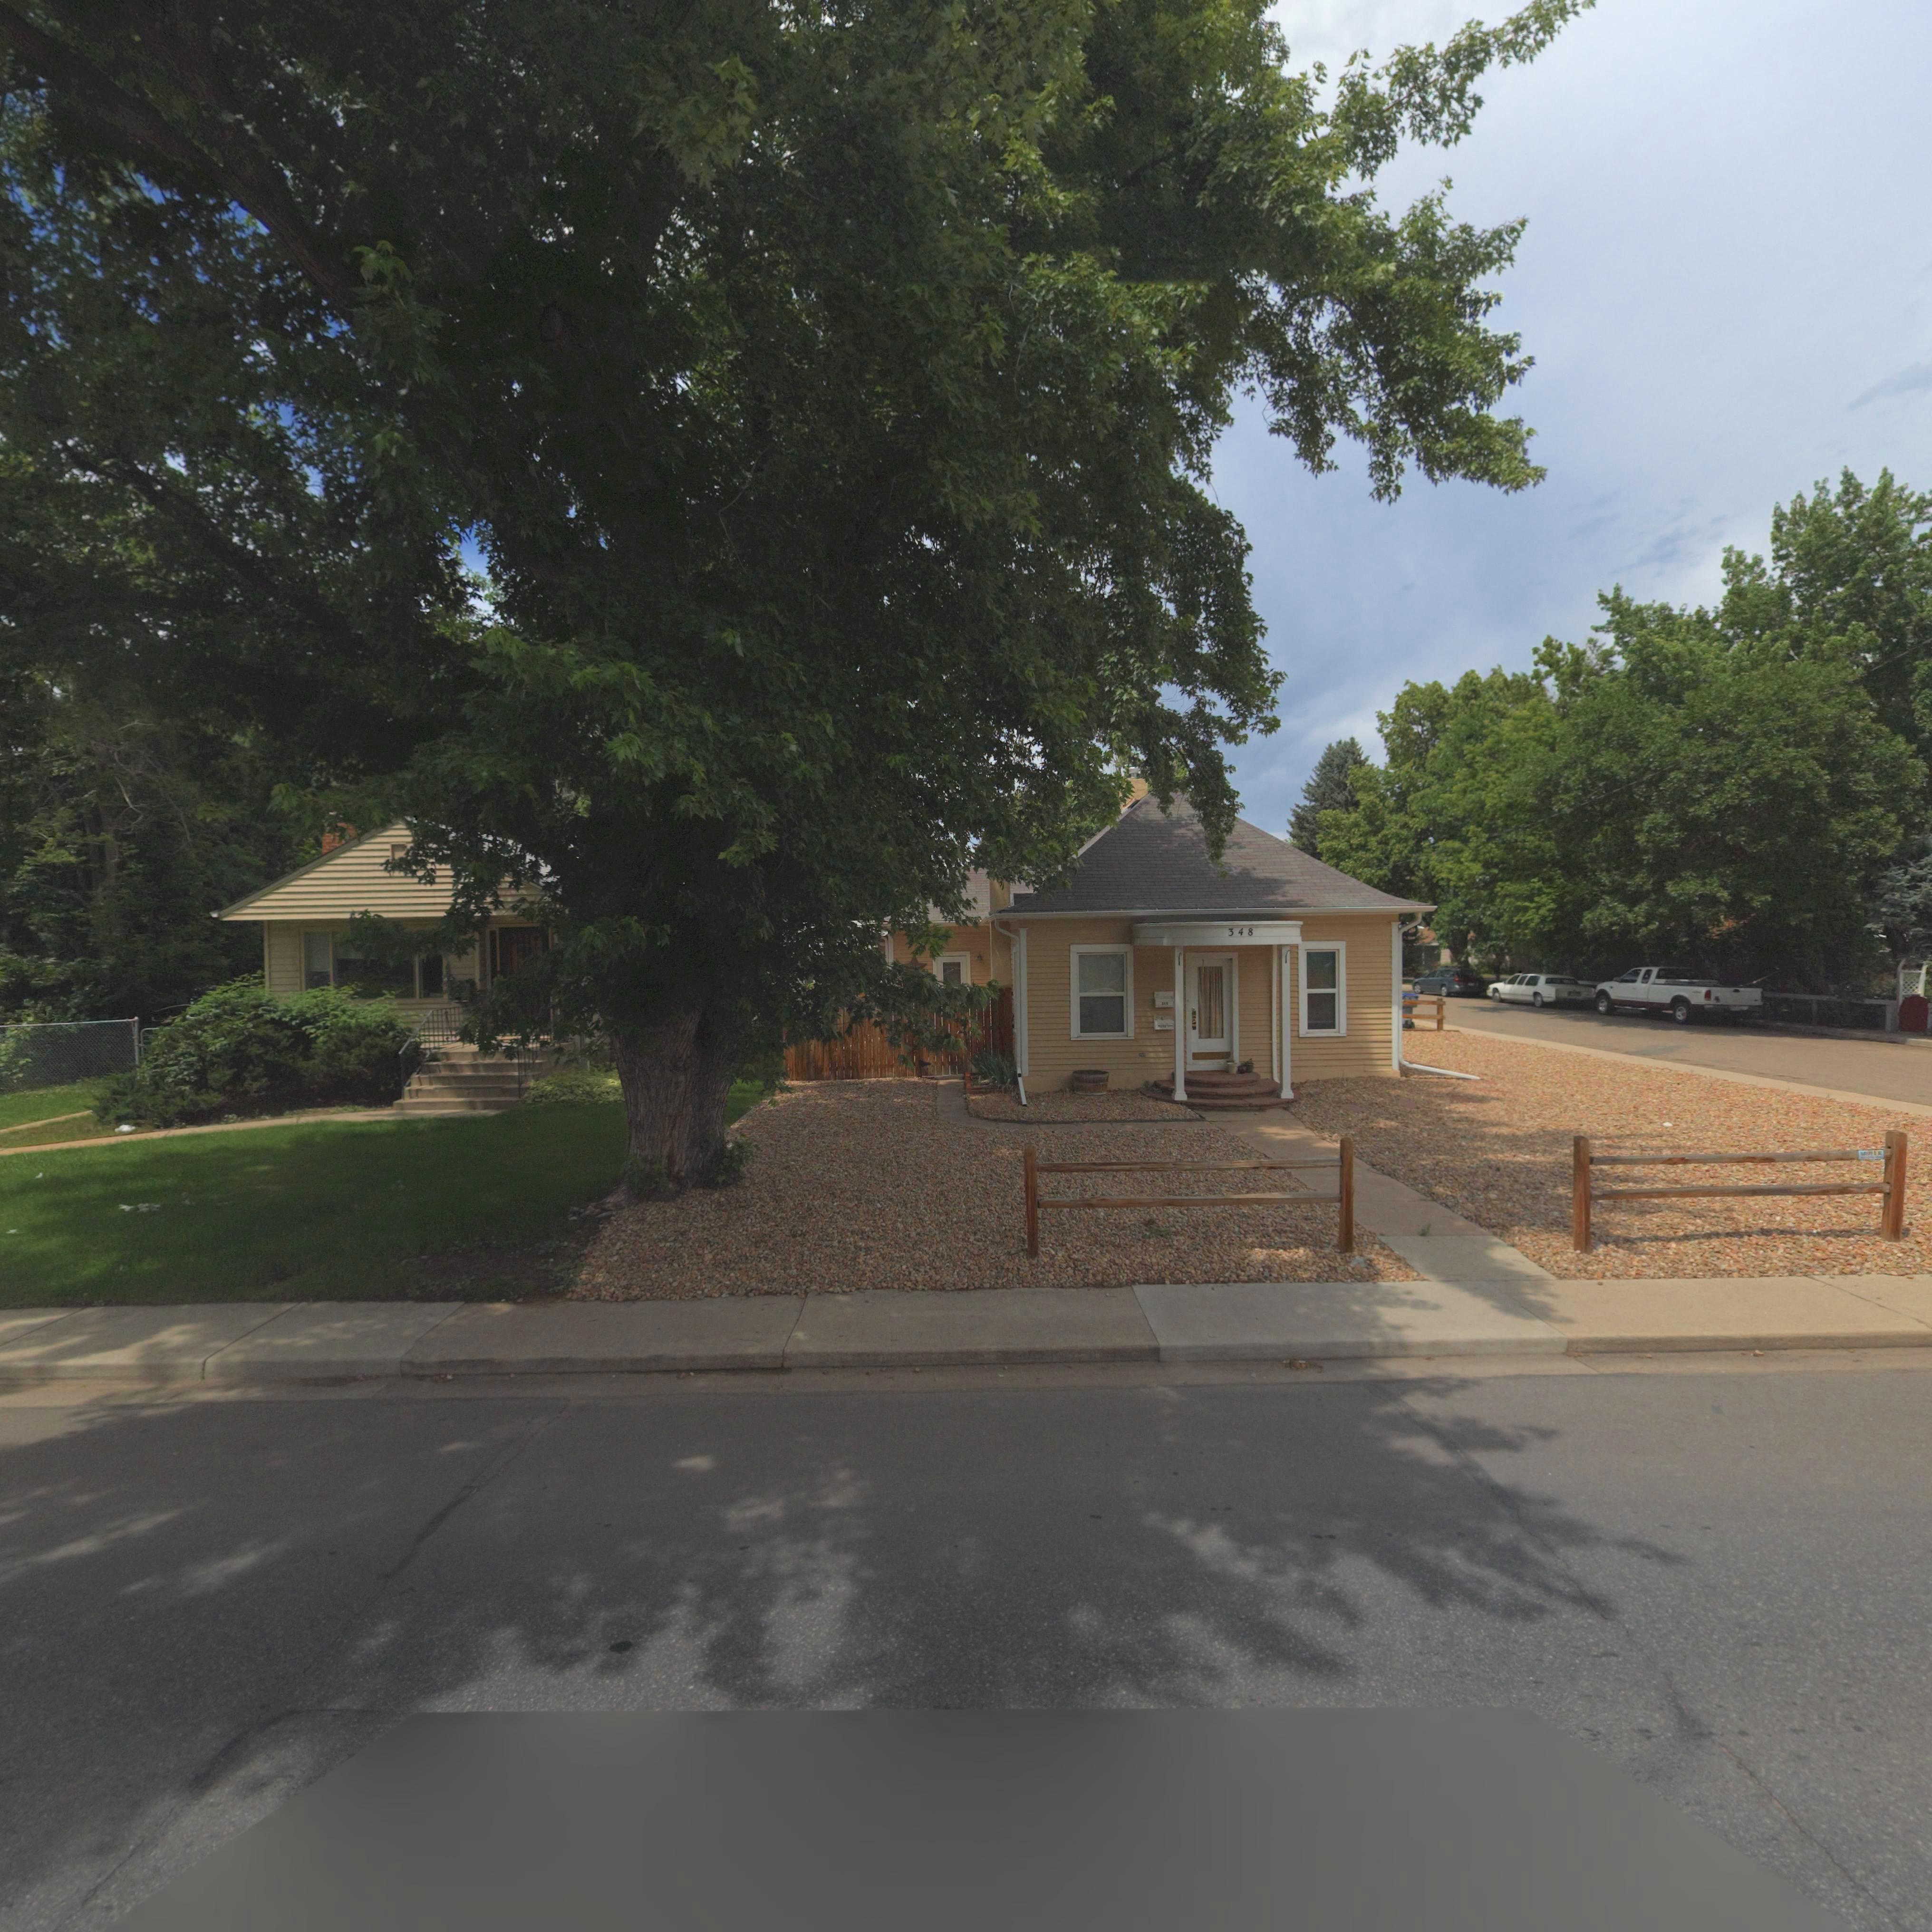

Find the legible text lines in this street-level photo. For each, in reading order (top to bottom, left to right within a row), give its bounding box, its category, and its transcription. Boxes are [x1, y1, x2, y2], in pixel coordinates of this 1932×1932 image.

[1228, 928, 1253, 937] StreetNumber: 348